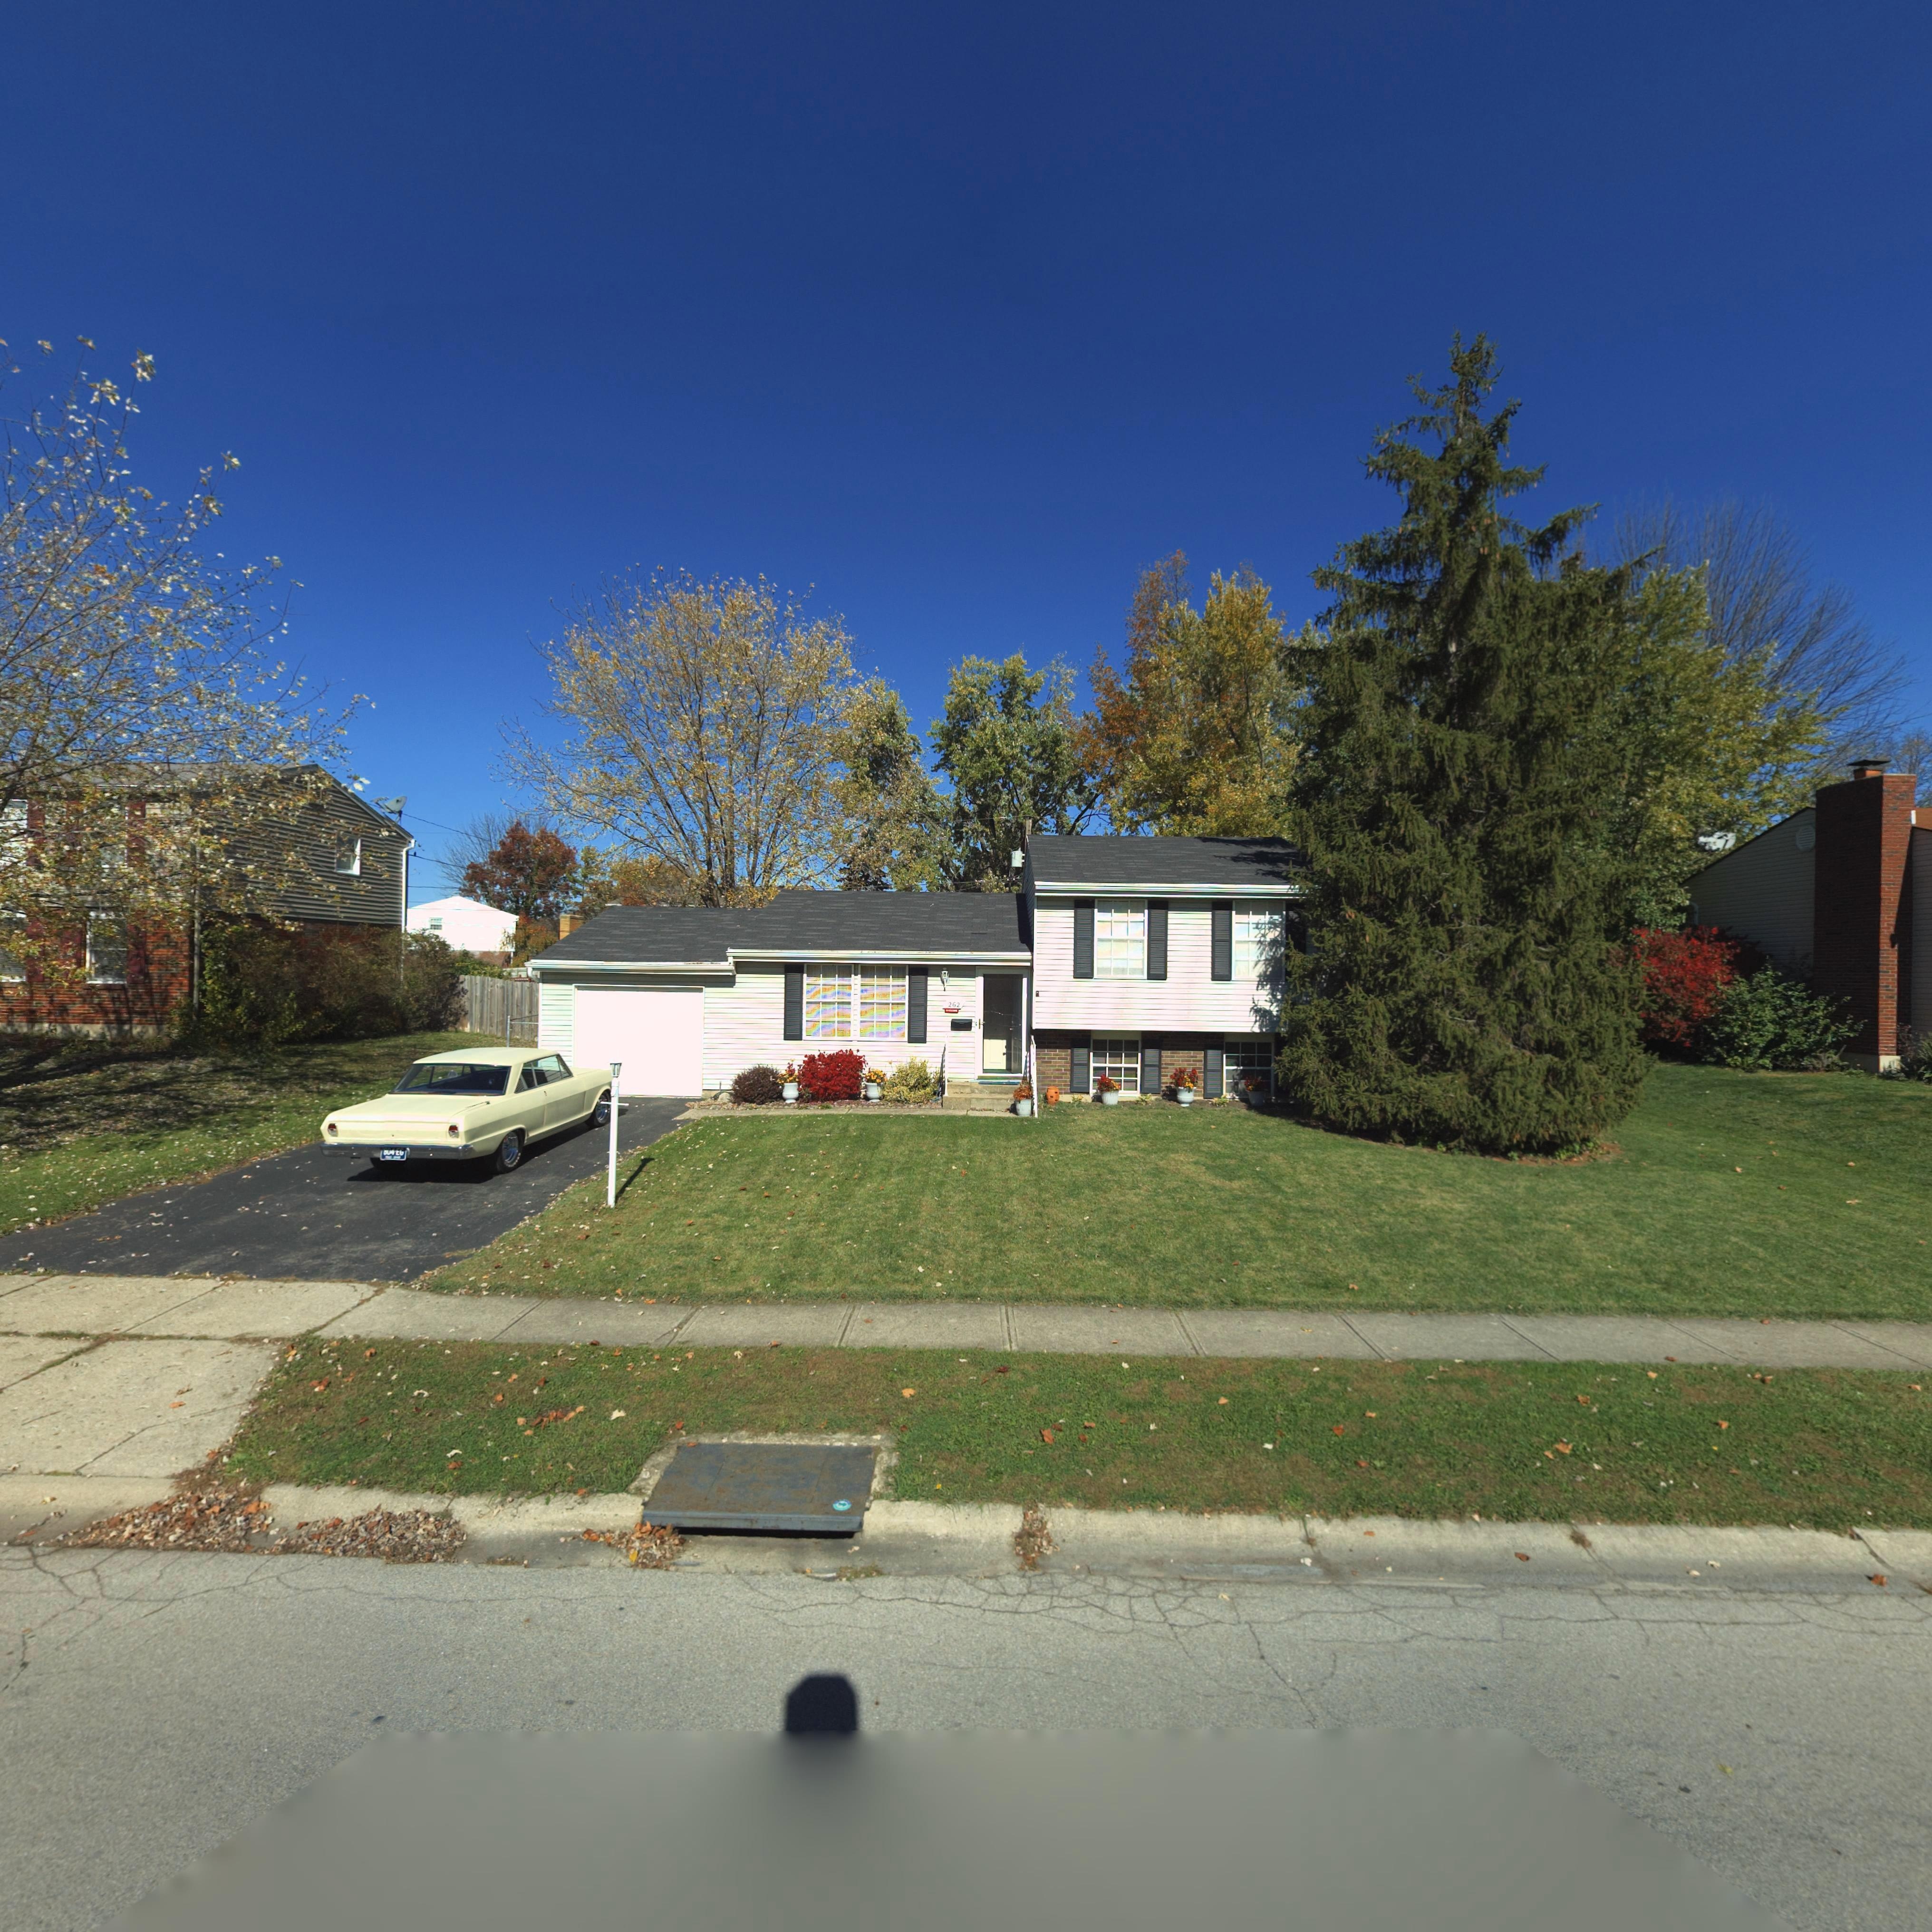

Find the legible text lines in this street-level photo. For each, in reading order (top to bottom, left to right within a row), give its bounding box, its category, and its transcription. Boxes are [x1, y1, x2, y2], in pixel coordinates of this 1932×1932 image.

[947, 1002, 960, 1008] StreetNumber: 262